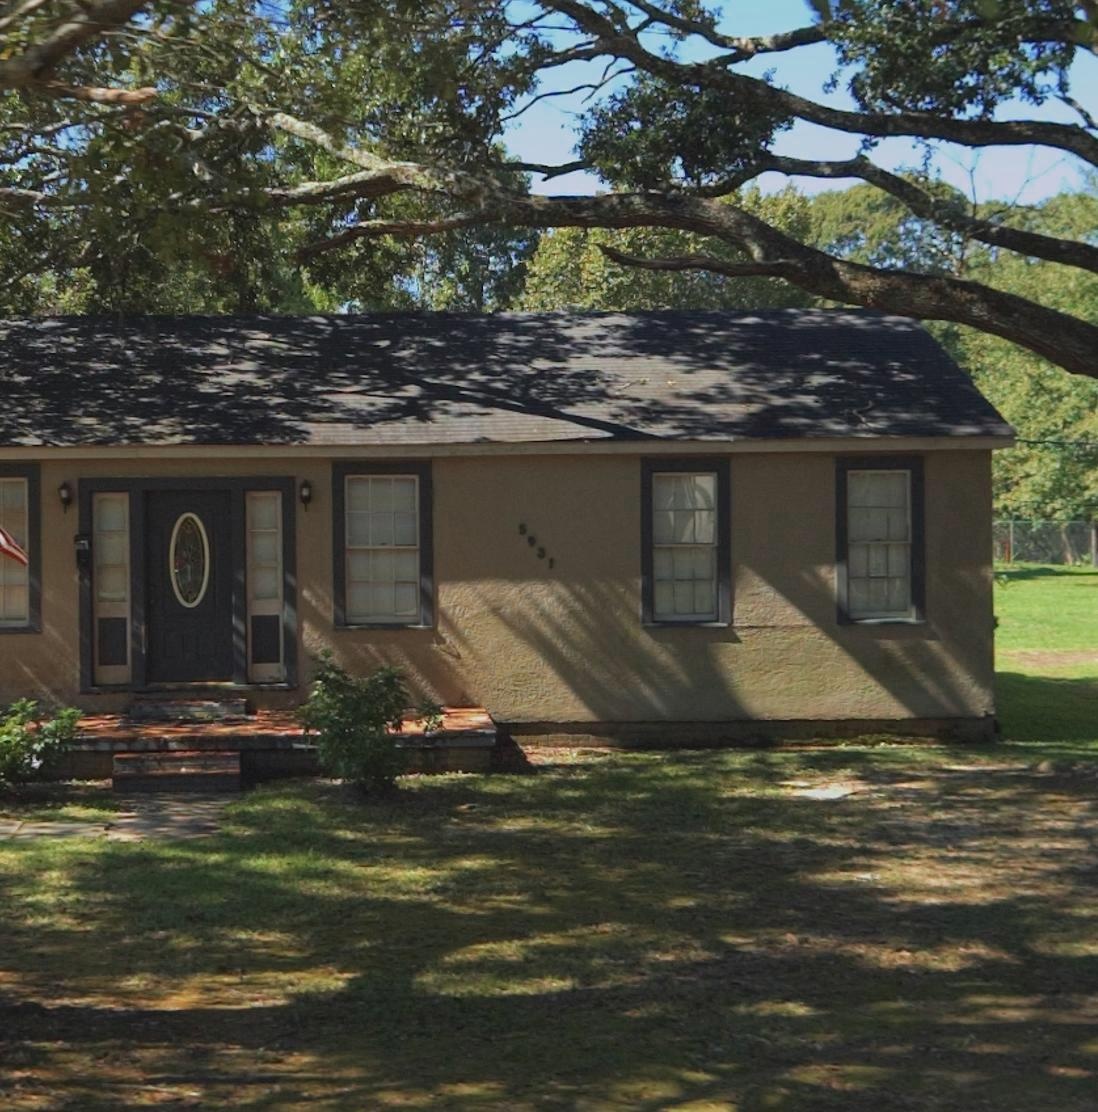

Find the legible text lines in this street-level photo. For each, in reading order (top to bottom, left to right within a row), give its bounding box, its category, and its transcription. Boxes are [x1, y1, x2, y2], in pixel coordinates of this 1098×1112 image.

[518, 523, 555, 570] StreetNumber: 5931